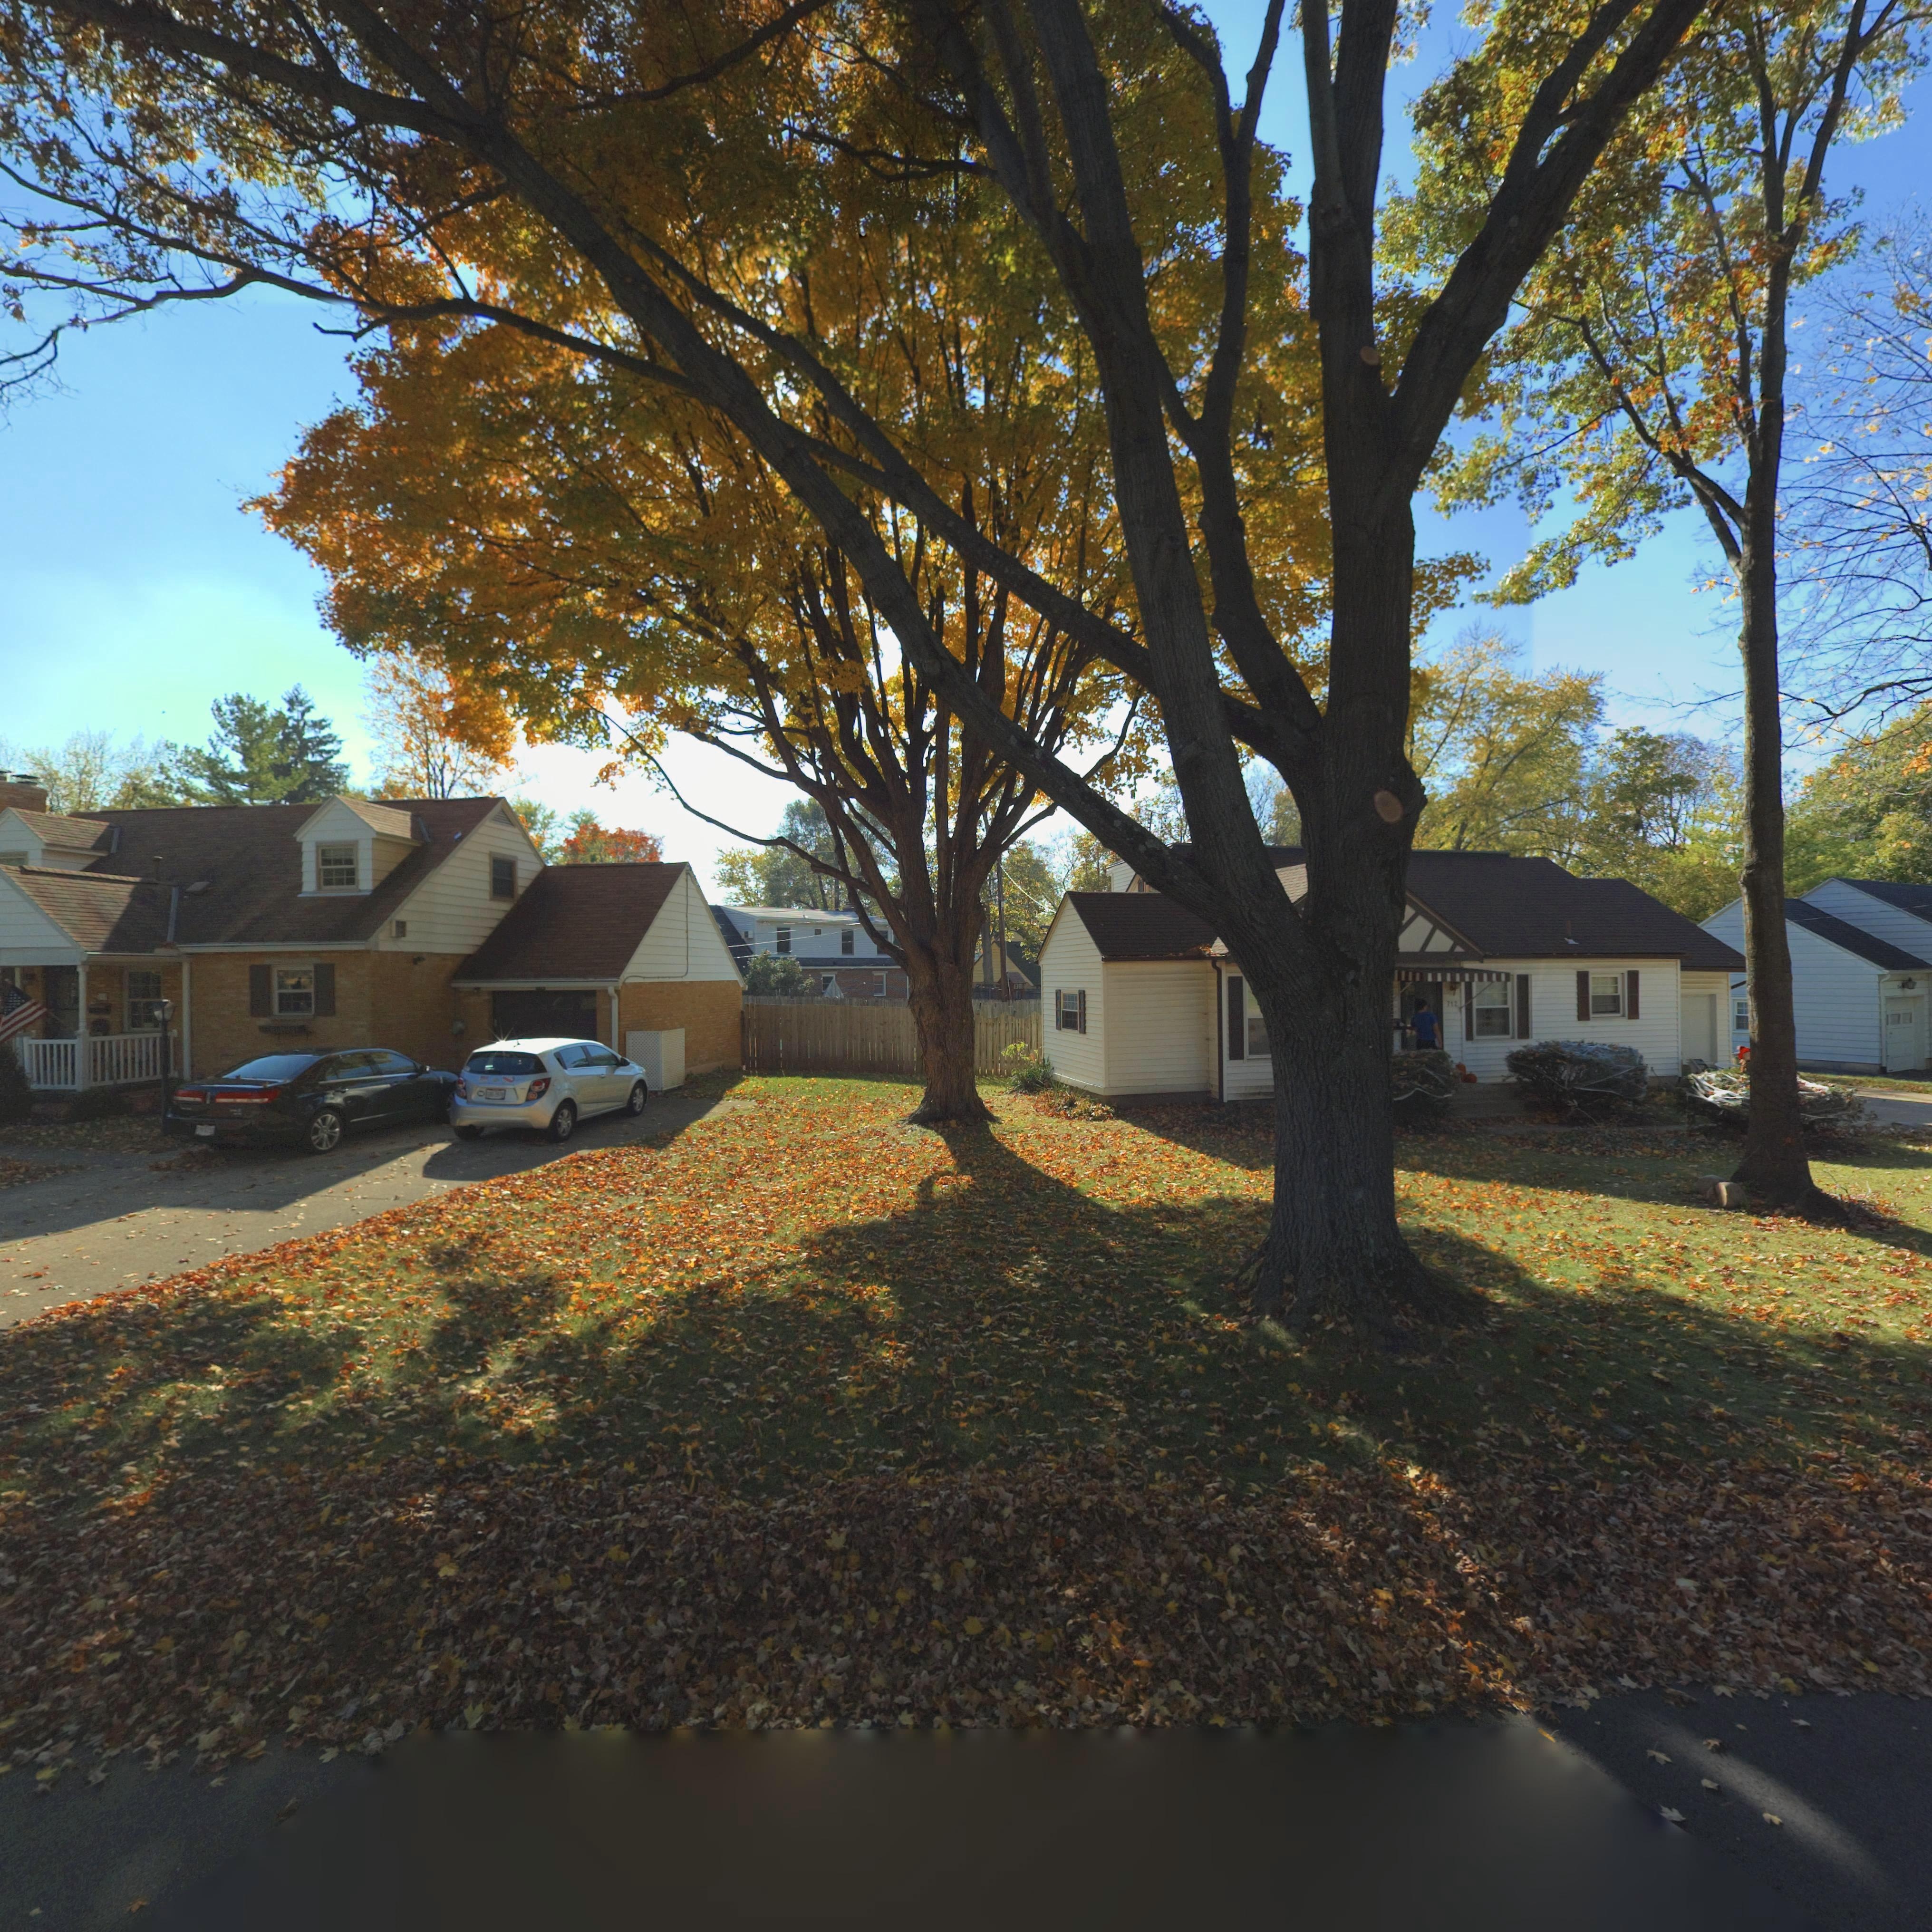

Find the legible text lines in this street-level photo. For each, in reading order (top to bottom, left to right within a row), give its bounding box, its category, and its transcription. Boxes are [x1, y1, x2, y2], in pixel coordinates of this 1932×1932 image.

[1446, 1000, 1459, 1008] StreetNumber: 712